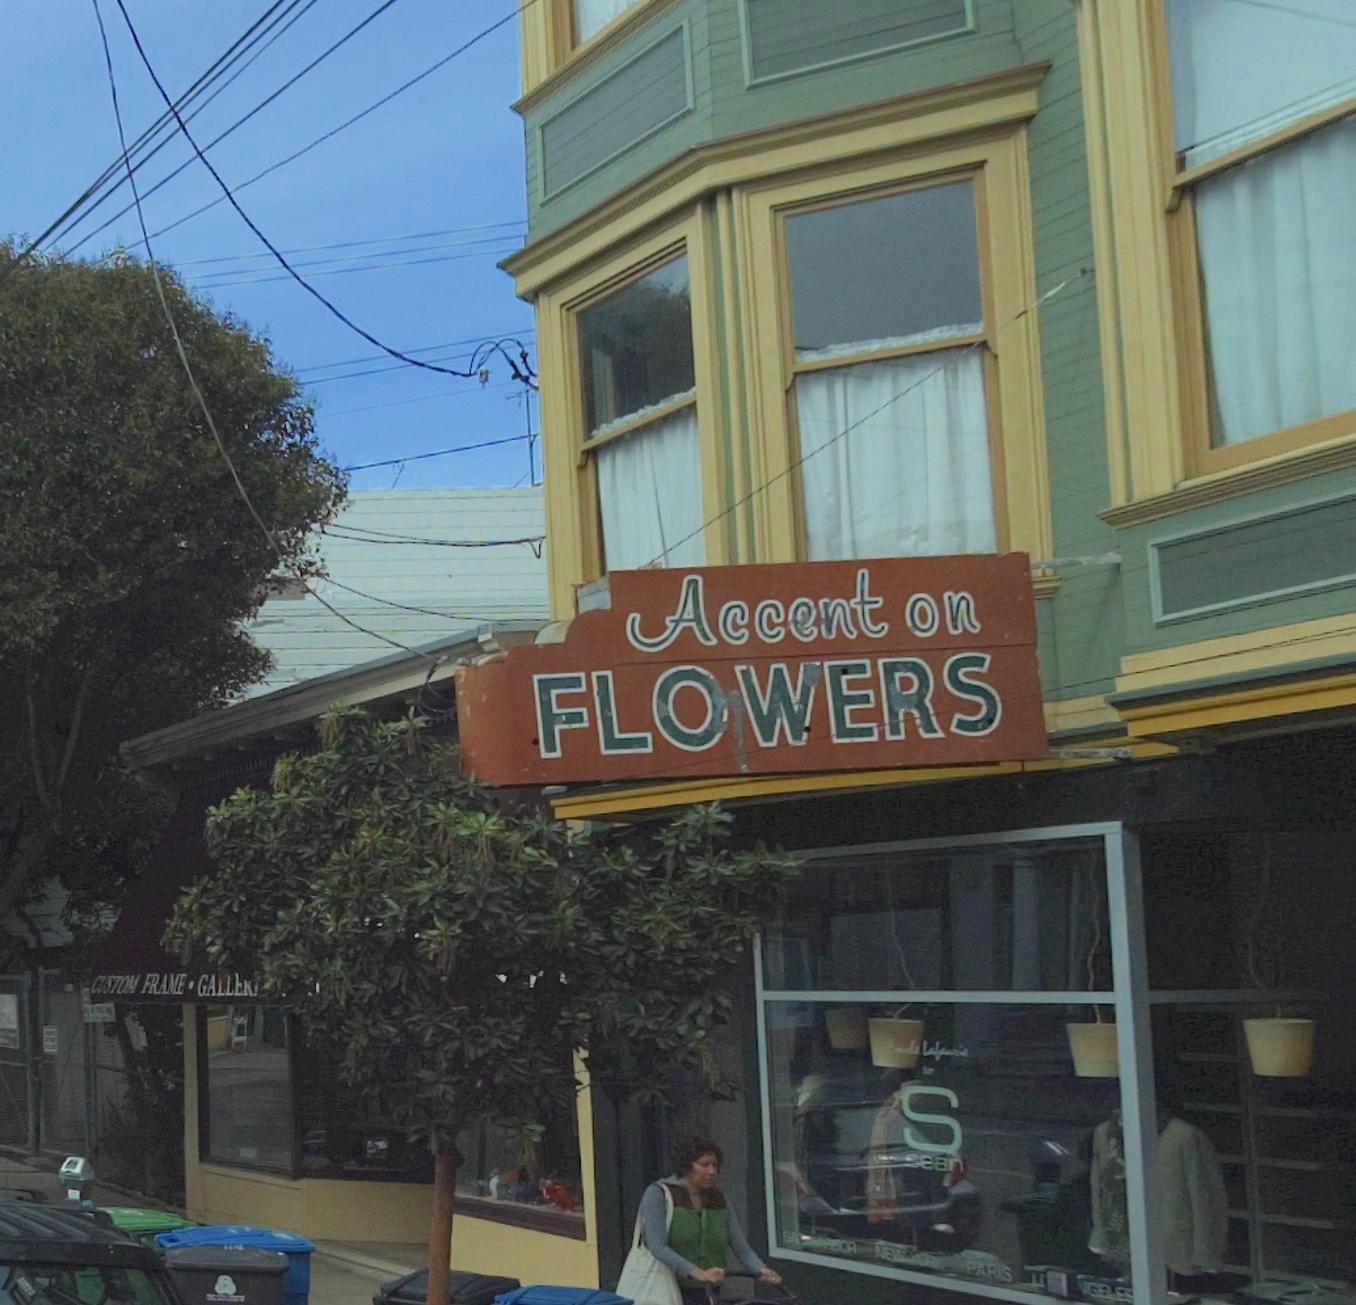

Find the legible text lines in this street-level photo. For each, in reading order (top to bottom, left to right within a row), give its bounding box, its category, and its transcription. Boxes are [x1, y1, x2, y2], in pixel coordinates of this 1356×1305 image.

[618, 566, 985, 657] BusinessName: Accent on
[529, 647, 1005, 762] BusinessName: FLOWERS
[88, 971, 263, 999] None: C*STOM FRAME - GA*****
[901, 1083, 964, 1155] None: S
[902, 1152, 966, 1175] None: sean
[873, 1243, 1018, 1287] None: NEW *O*K PARIS